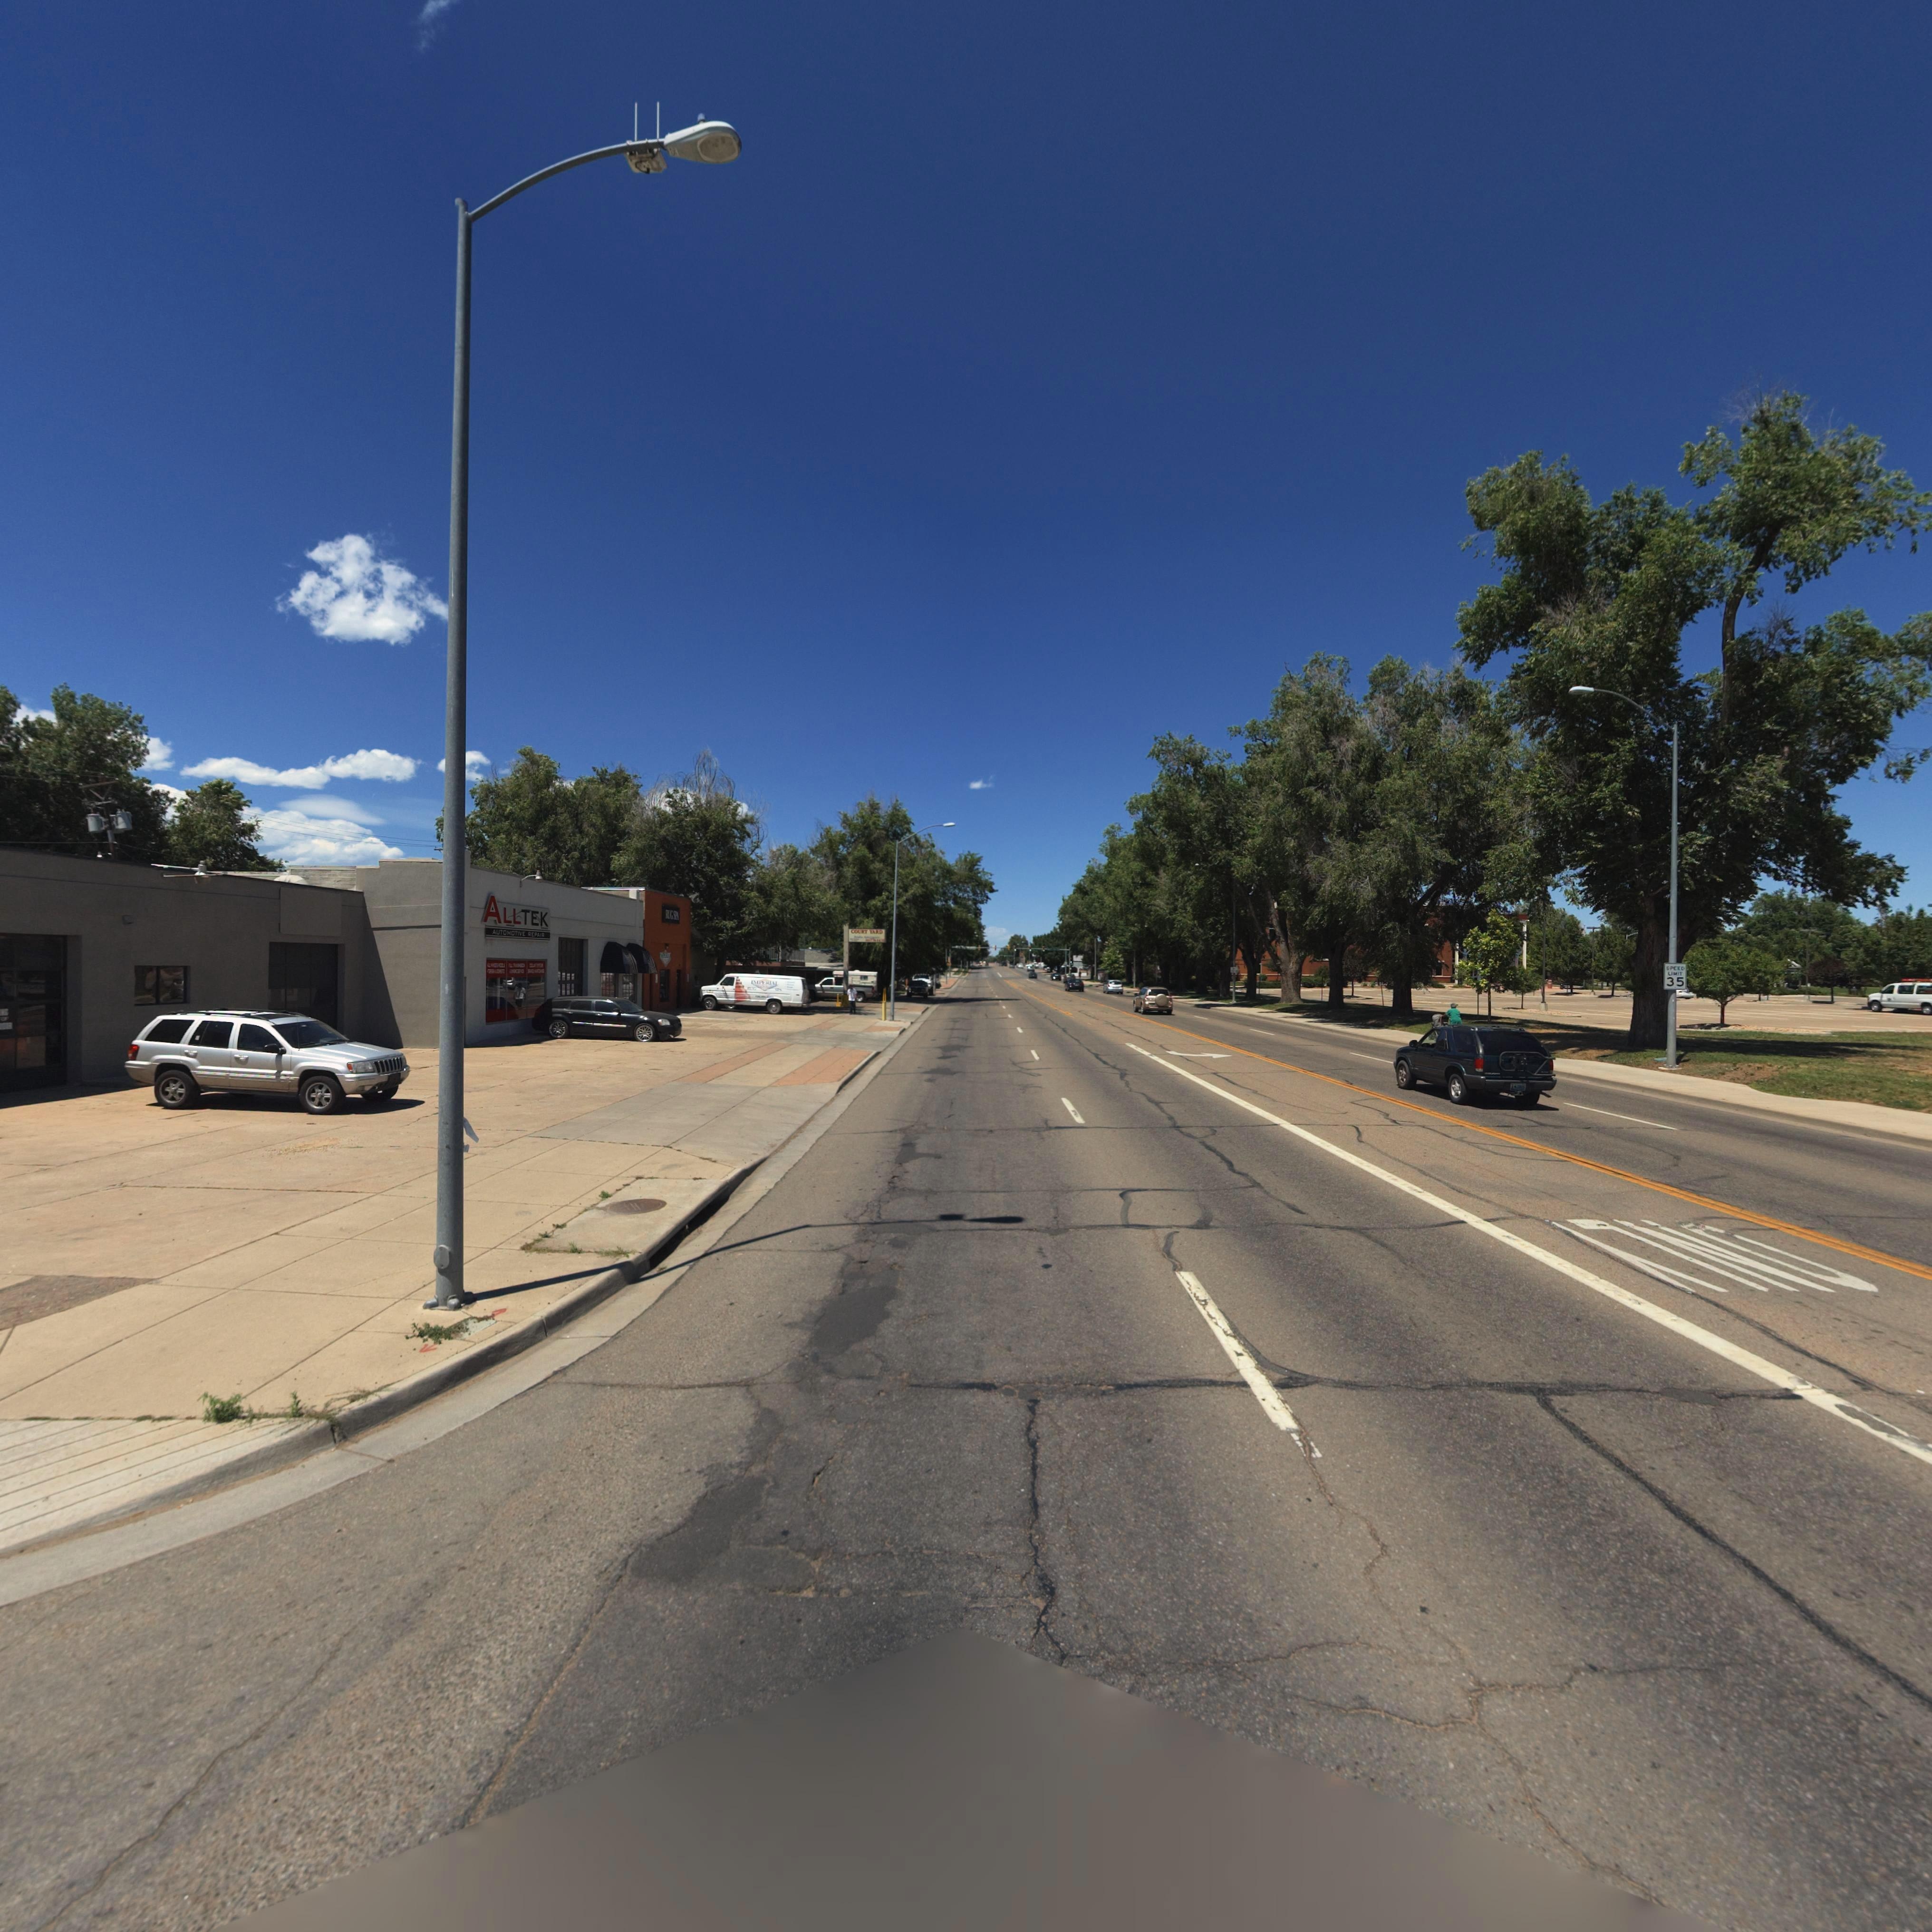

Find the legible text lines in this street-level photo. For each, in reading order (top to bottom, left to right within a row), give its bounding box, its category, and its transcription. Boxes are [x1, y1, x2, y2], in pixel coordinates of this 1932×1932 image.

[481, 893, 549, 927] BusinessName: ALLTEK
[665, 909, 679, 920] BusinessName: RUG SPA
[492, 928, 544, 937] BusinessName: AUTOMOTIVE REPAIR
[850, 929, 883, 934] BusinessName: COURT YARD
[853, 935, 880, 938] BusinessName: Studio Apartments